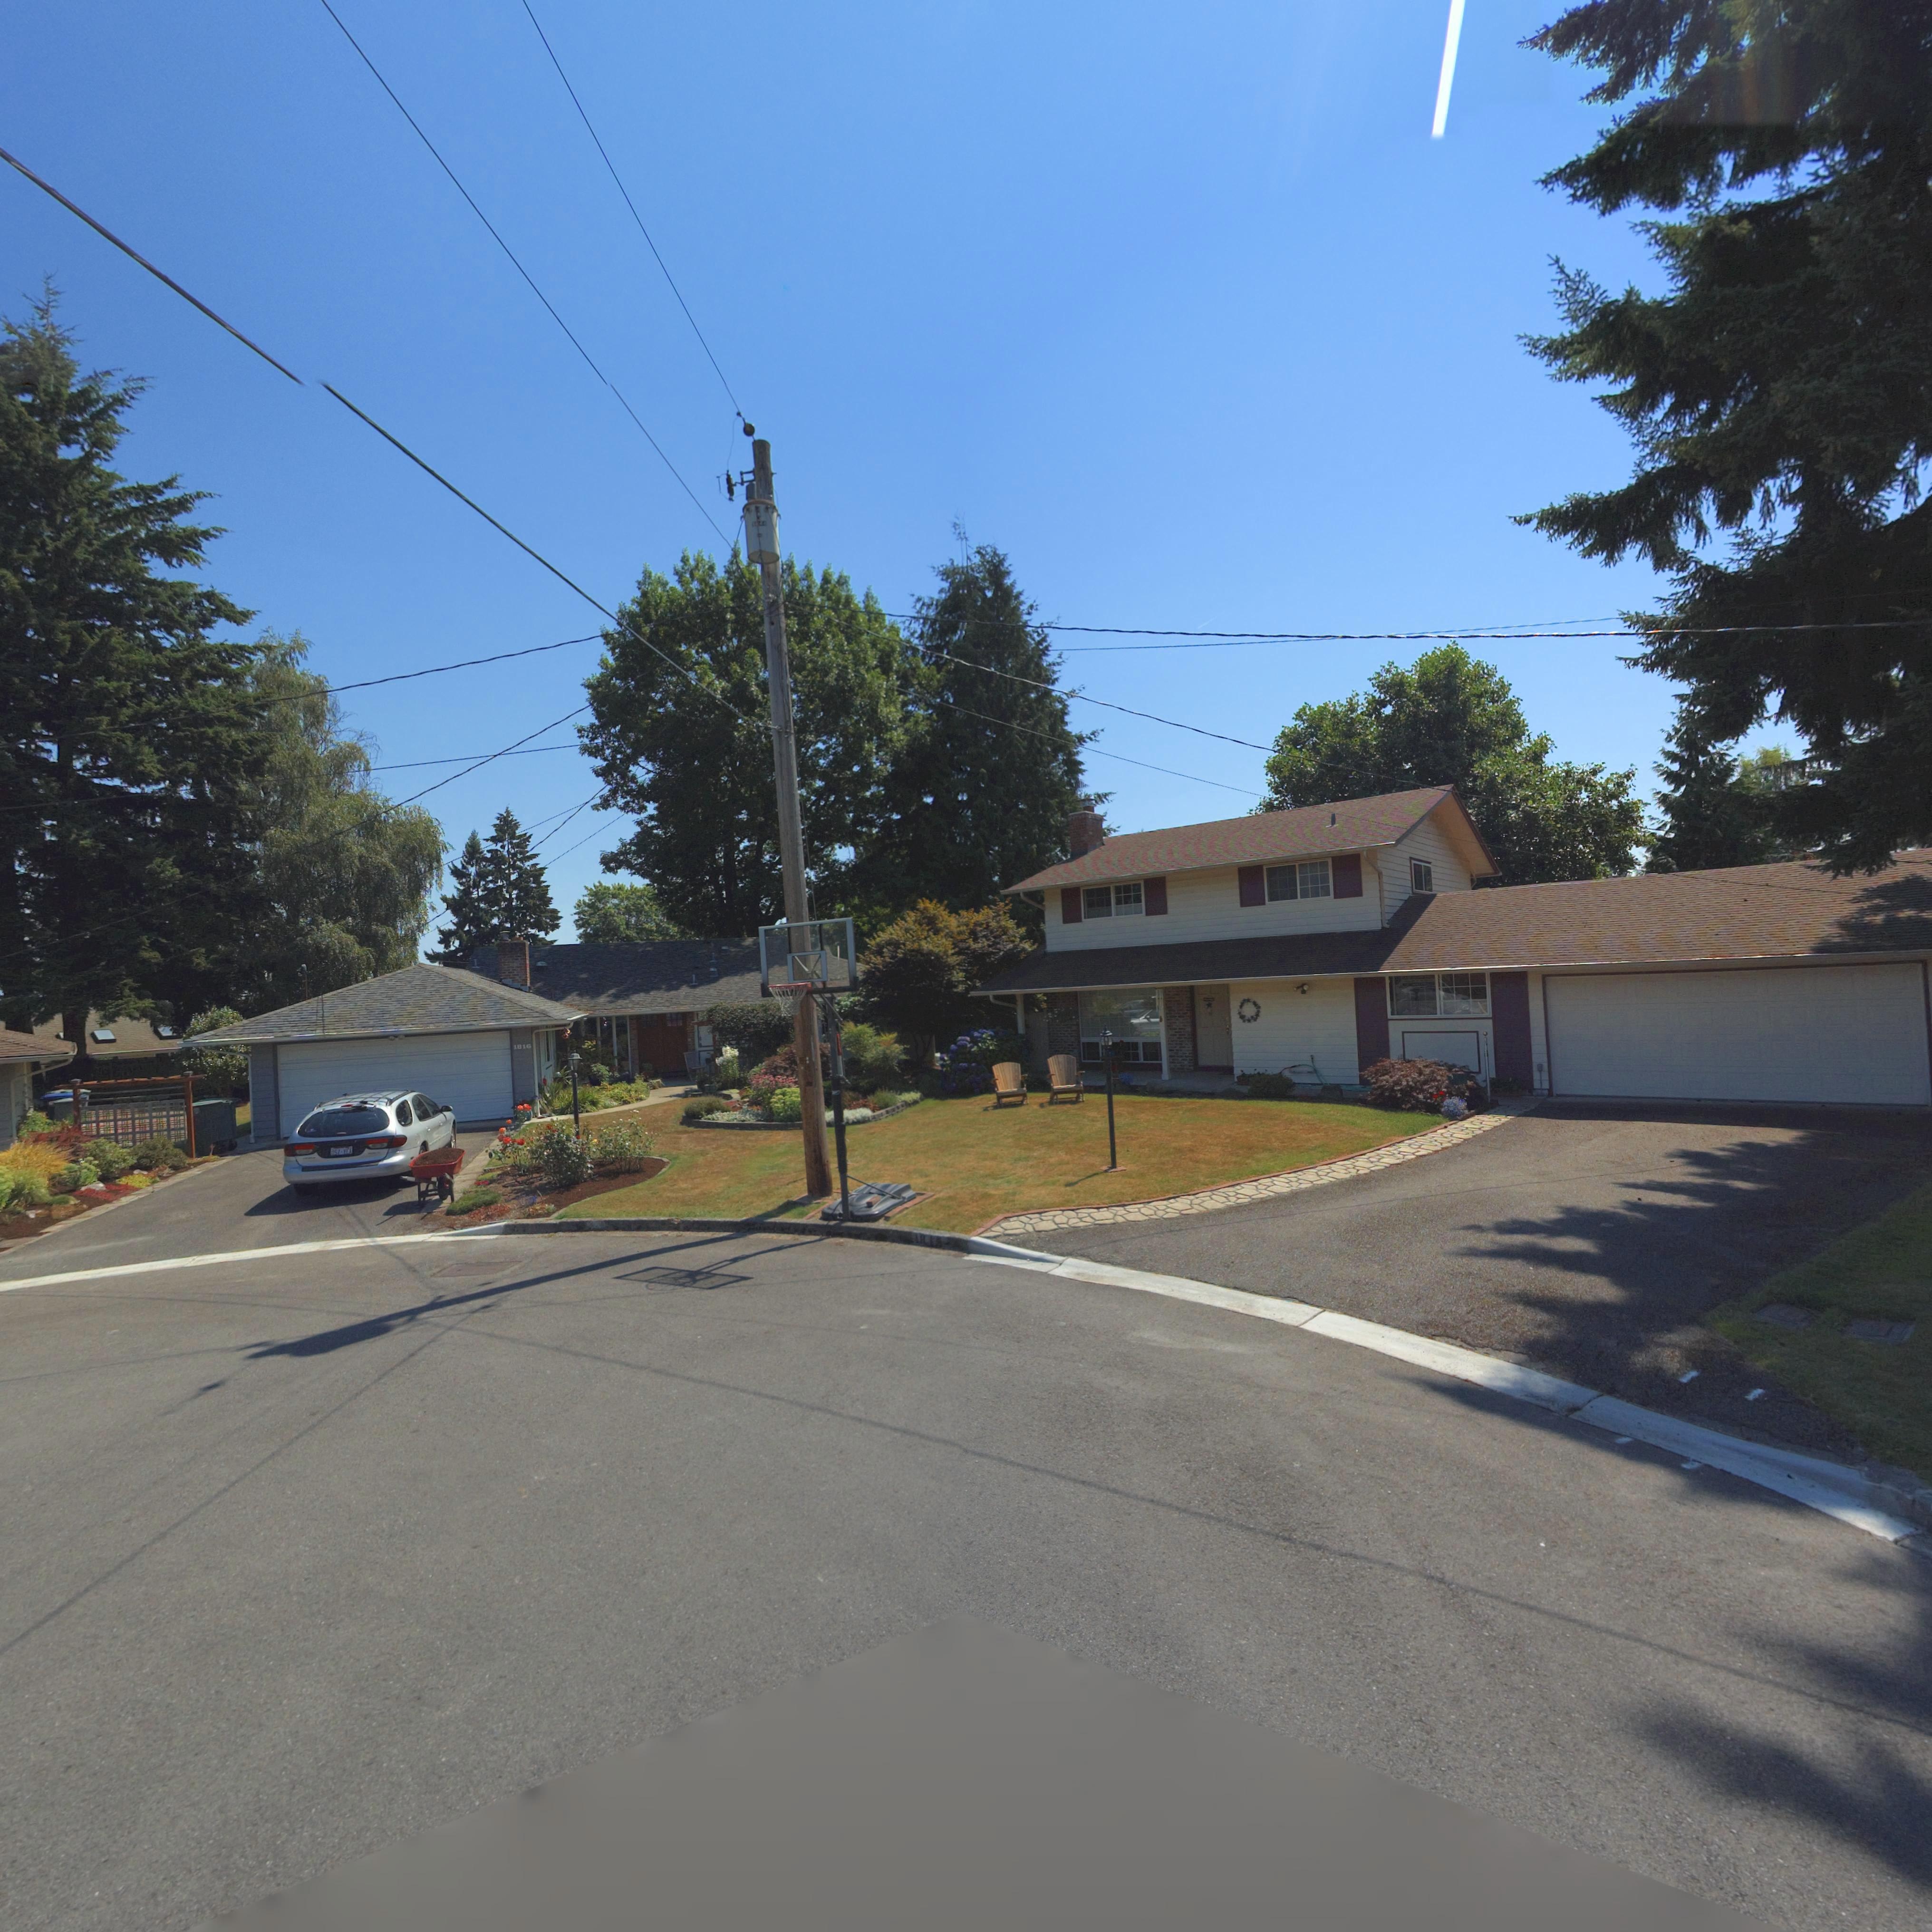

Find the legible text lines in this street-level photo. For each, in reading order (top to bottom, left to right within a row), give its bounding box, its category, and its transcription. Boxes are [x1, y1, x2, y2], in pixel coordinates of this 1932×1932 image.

[513, 1043, 531, 1049] StreetNumber: 1816